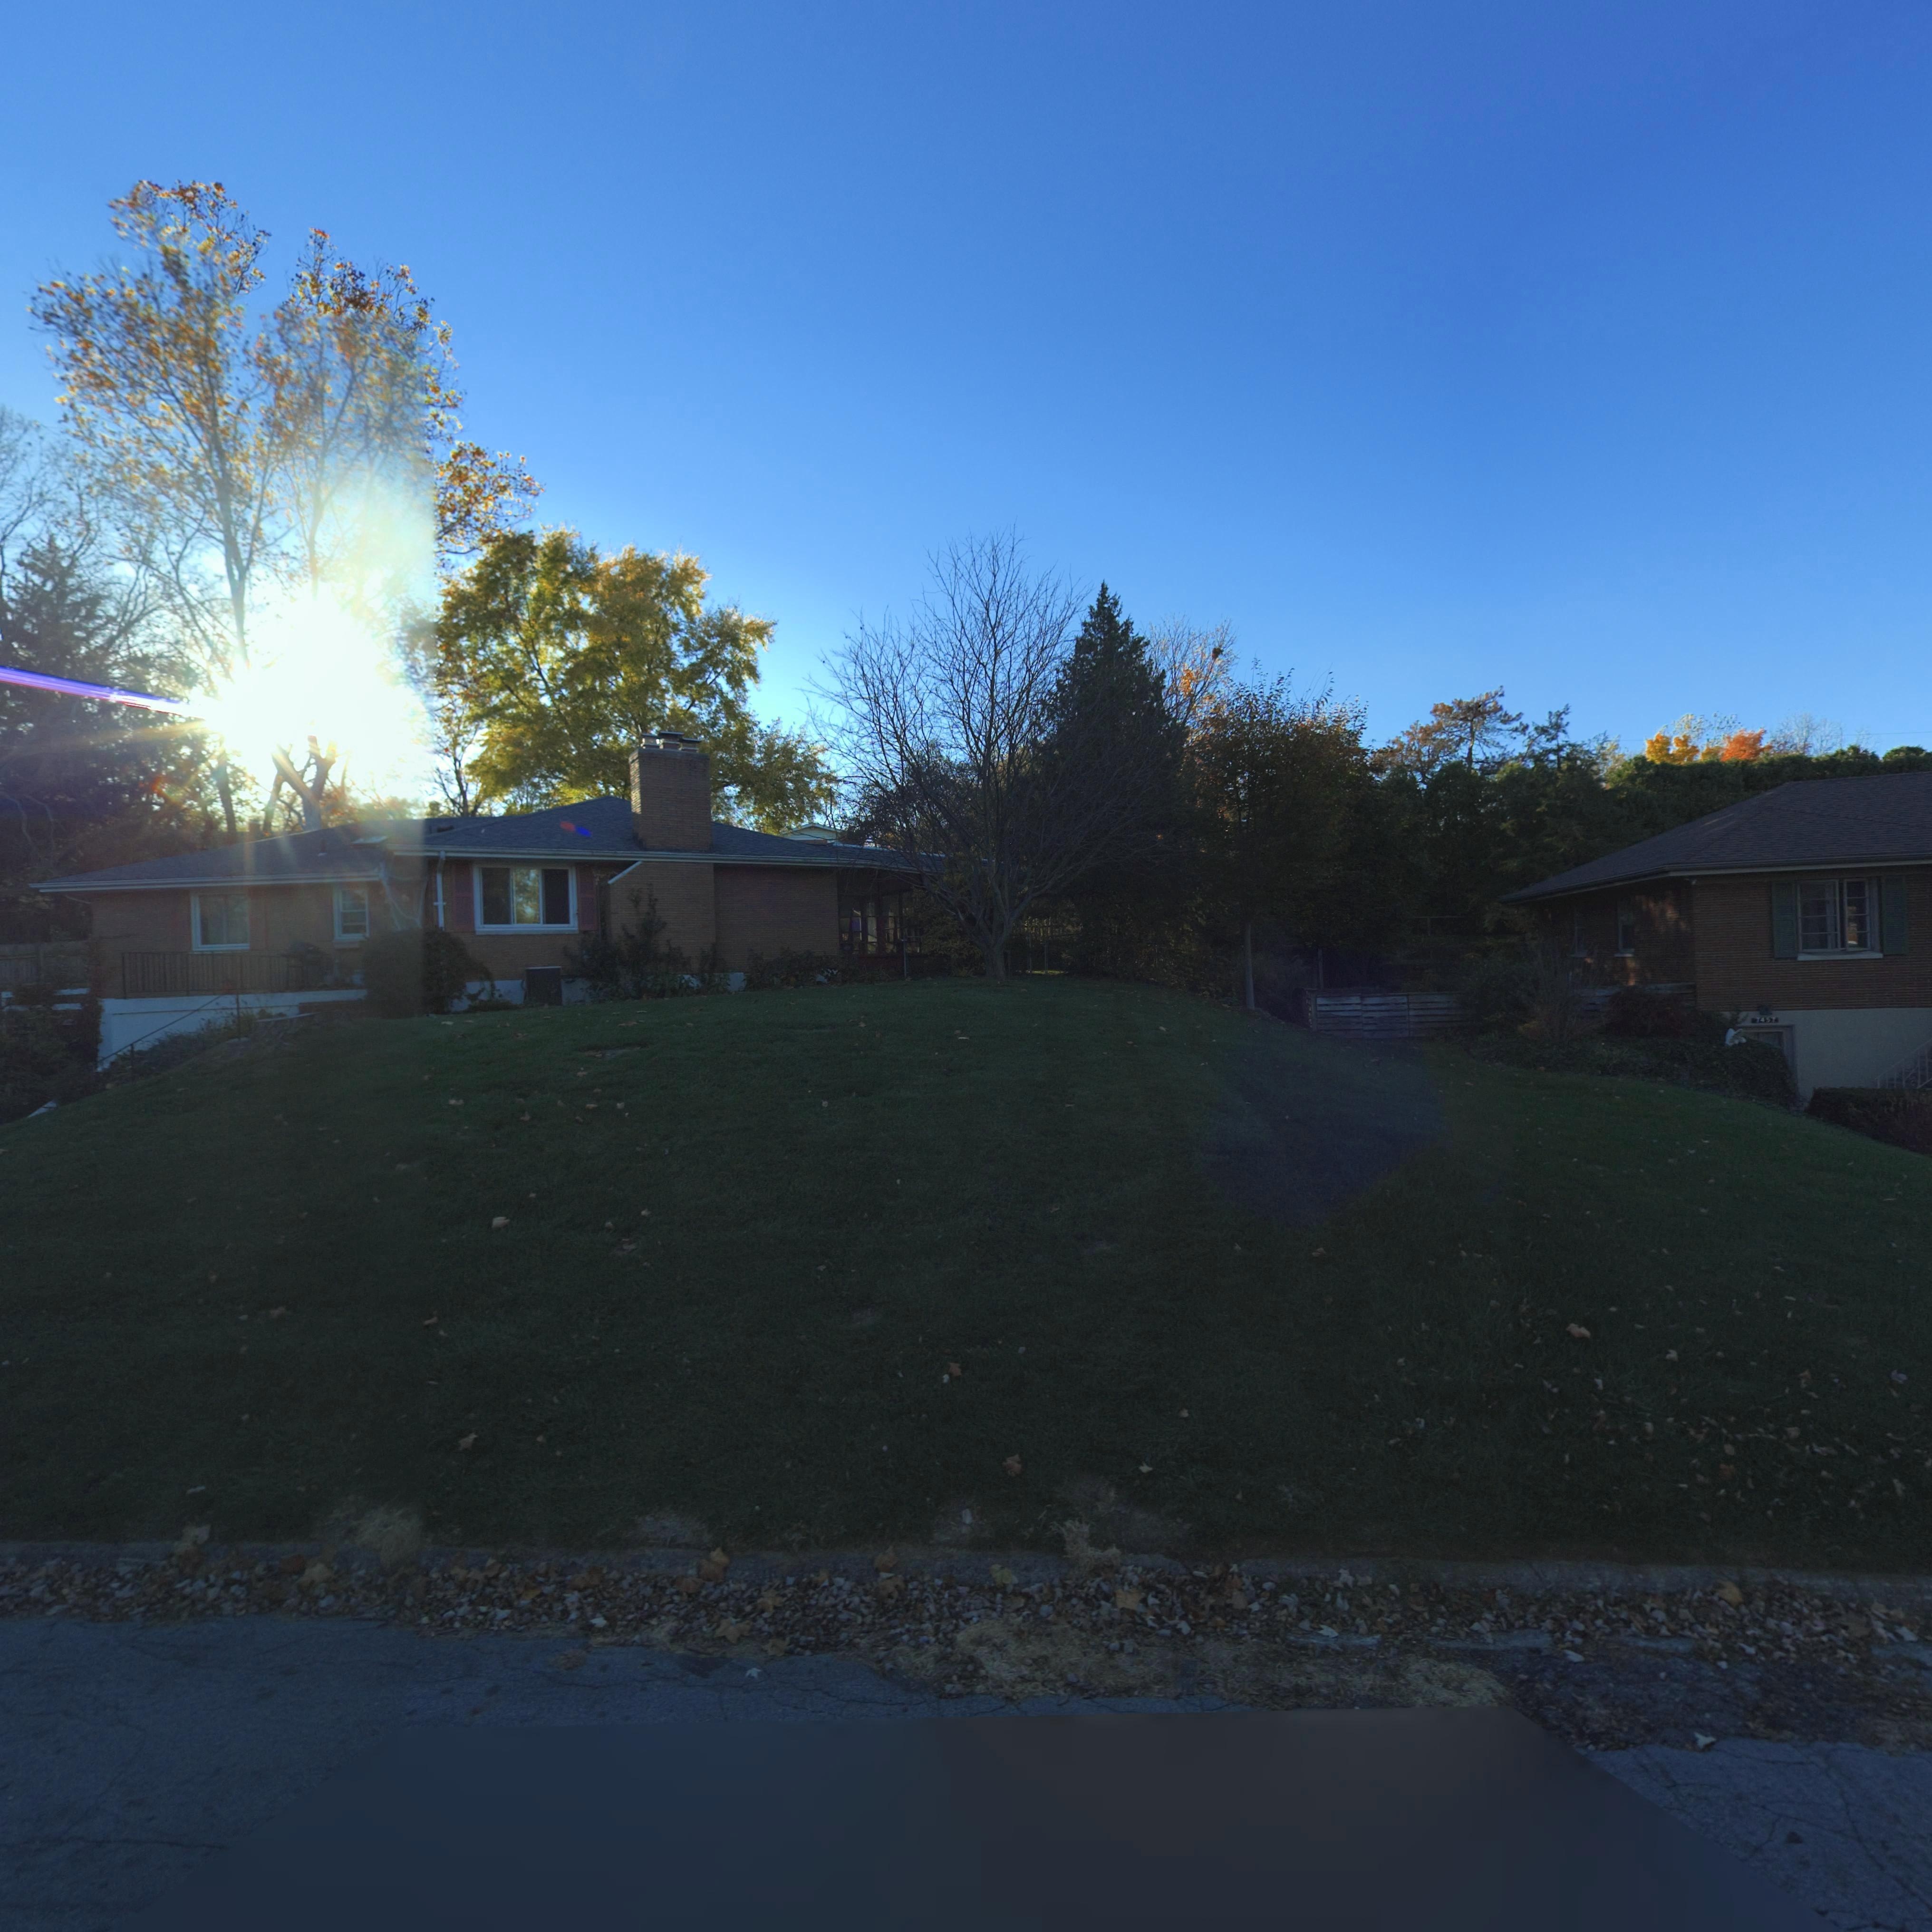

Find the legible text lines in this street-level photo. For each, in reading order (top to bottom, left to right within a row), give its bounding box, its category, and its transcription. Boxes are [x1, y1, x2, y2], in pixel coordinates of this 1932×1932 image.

[1754, 1016, 1777, 1024] StreetNumber: 7457